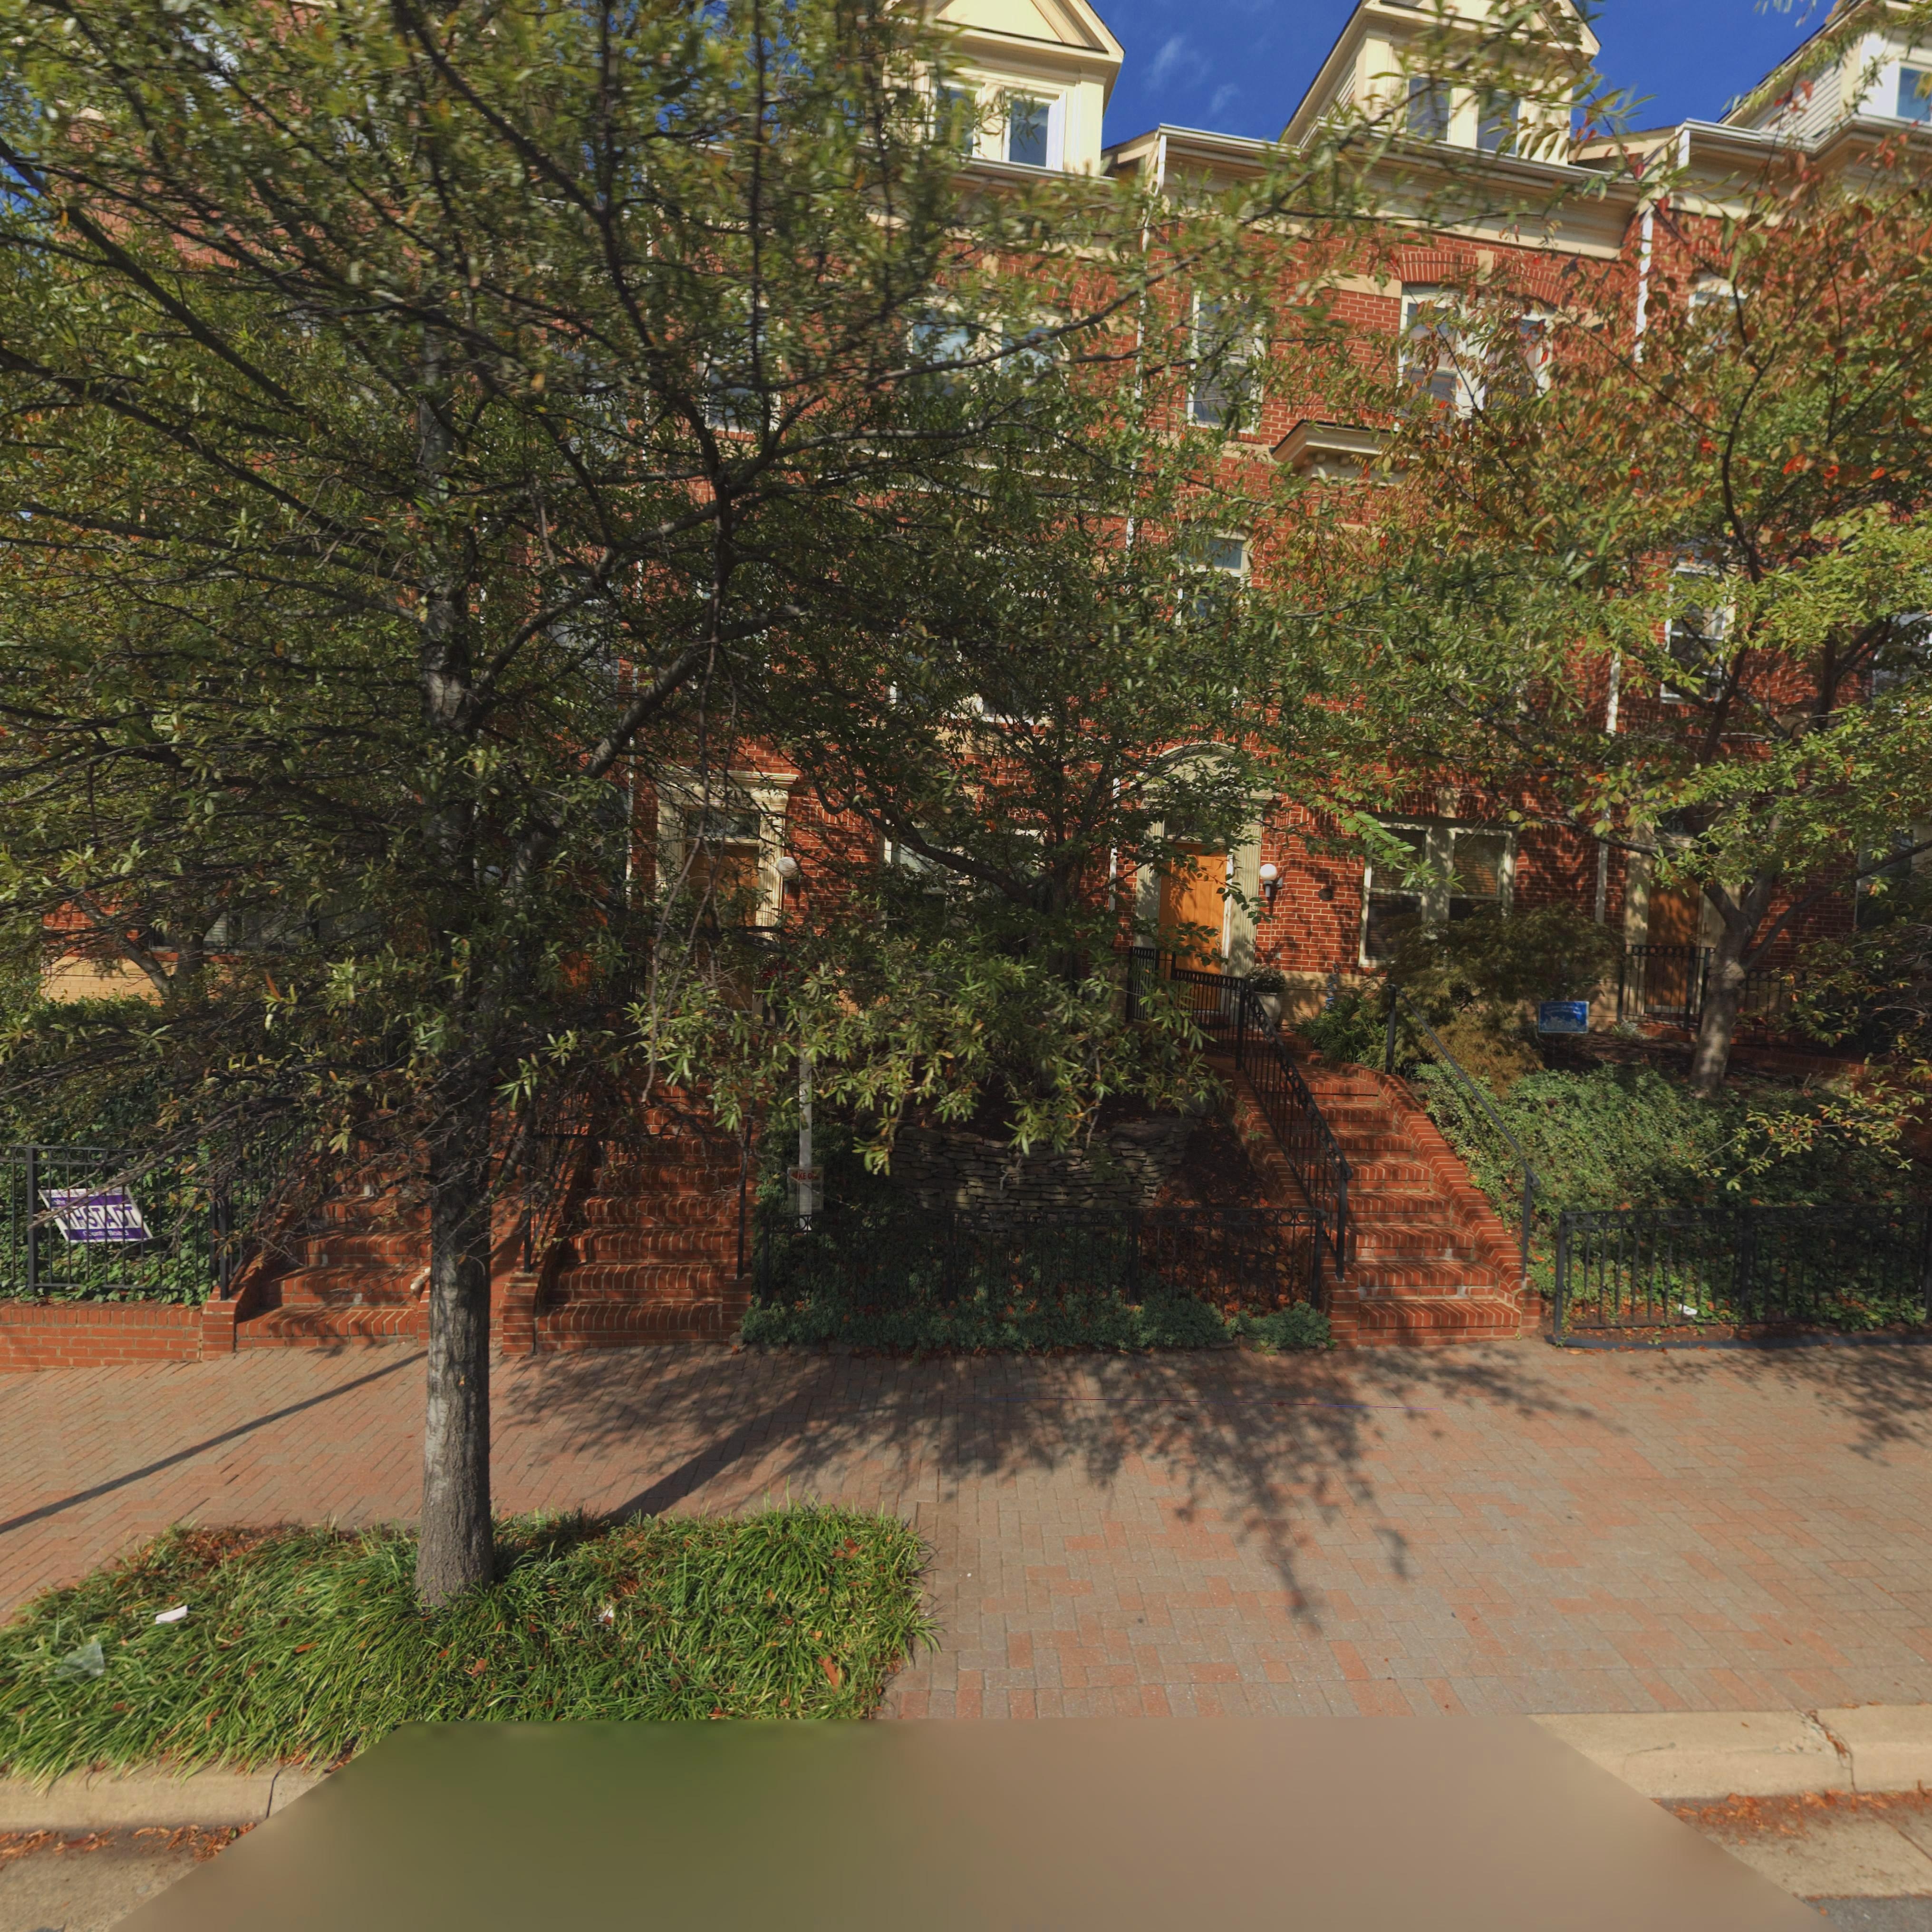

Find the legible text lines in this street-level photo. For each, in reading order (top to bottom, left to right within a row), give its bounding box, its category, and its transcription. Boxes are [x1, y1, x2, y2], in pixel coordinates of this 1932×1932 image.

[1667, 819, 1685, 832] StreetNumber: 09
[52, 1205, 139, 1229] None: *IH*TA*T
[107, 1230, 123, 1236] None: Boa